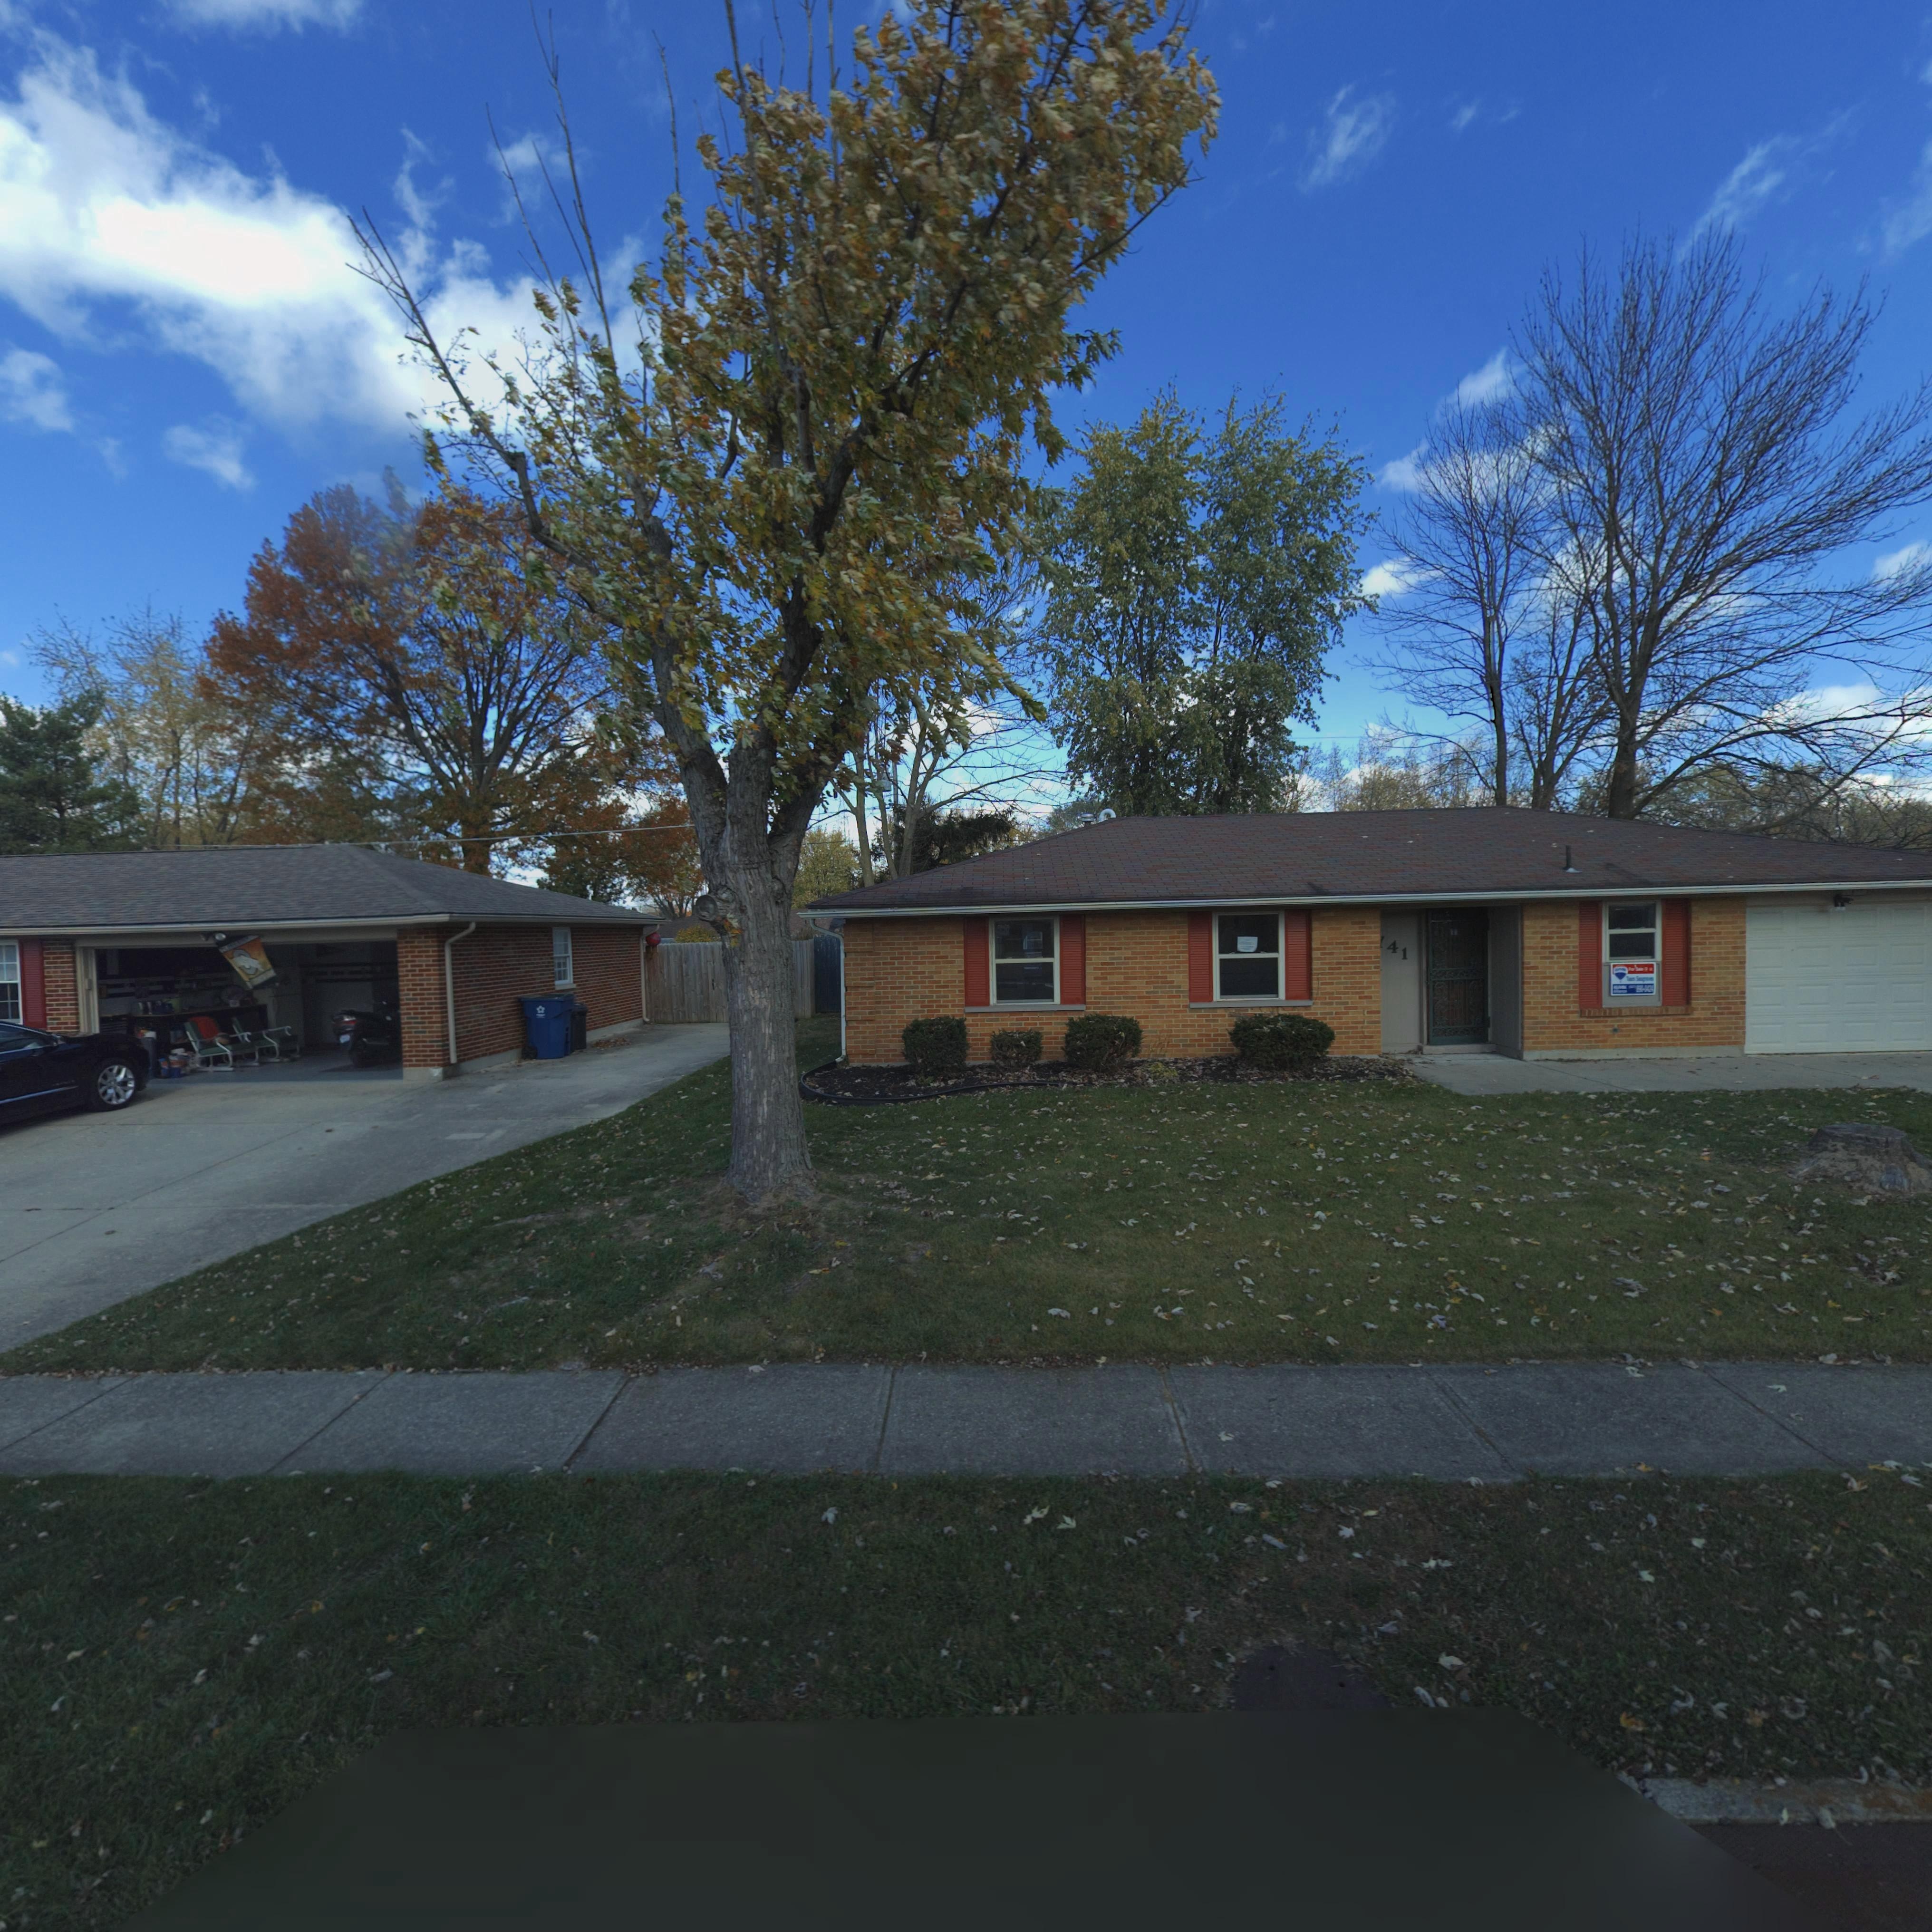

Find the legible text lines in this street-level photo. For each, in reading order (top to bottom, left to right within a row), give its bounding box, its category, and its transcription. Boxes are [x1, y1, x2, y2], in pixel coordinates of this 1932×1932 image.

[1385, 938, 1408, 960] StreetNumber: 41